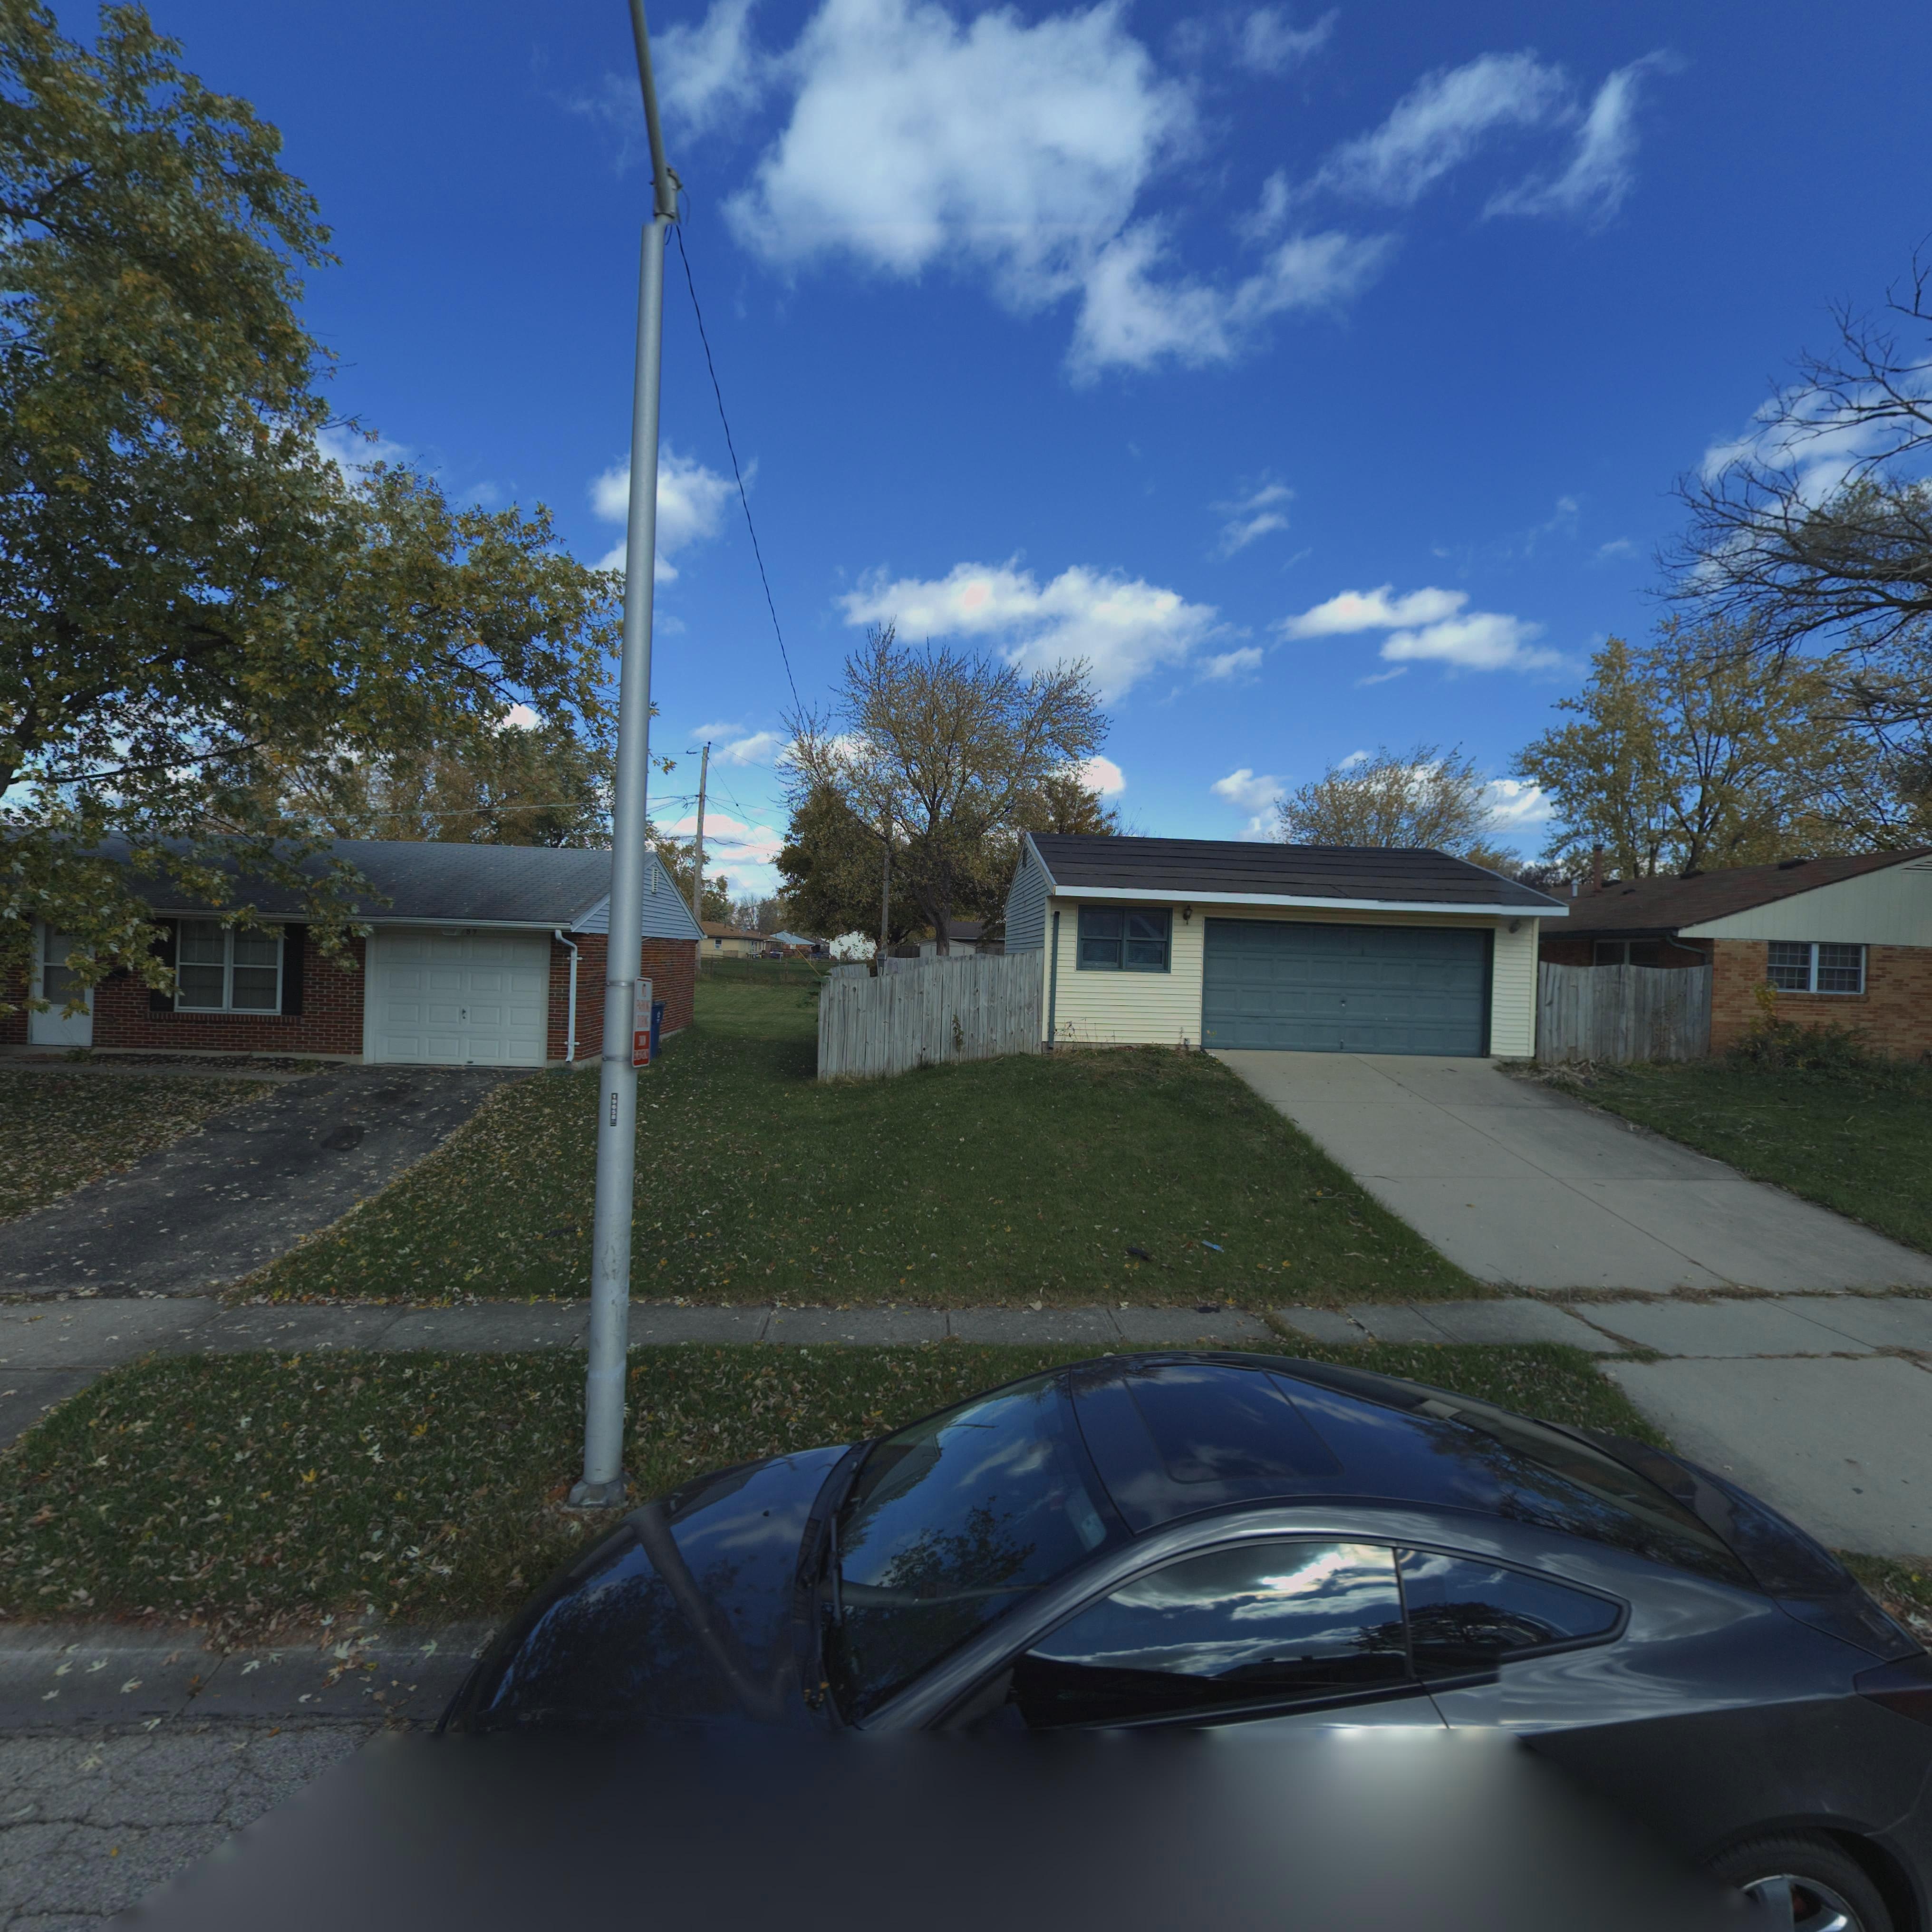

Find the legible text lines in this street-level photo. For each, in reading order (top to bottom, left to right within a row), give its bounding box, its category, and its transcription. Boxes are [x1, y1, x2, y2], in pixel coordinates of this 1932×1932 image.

[465, 928, 478, 936] StreetNumber: 89